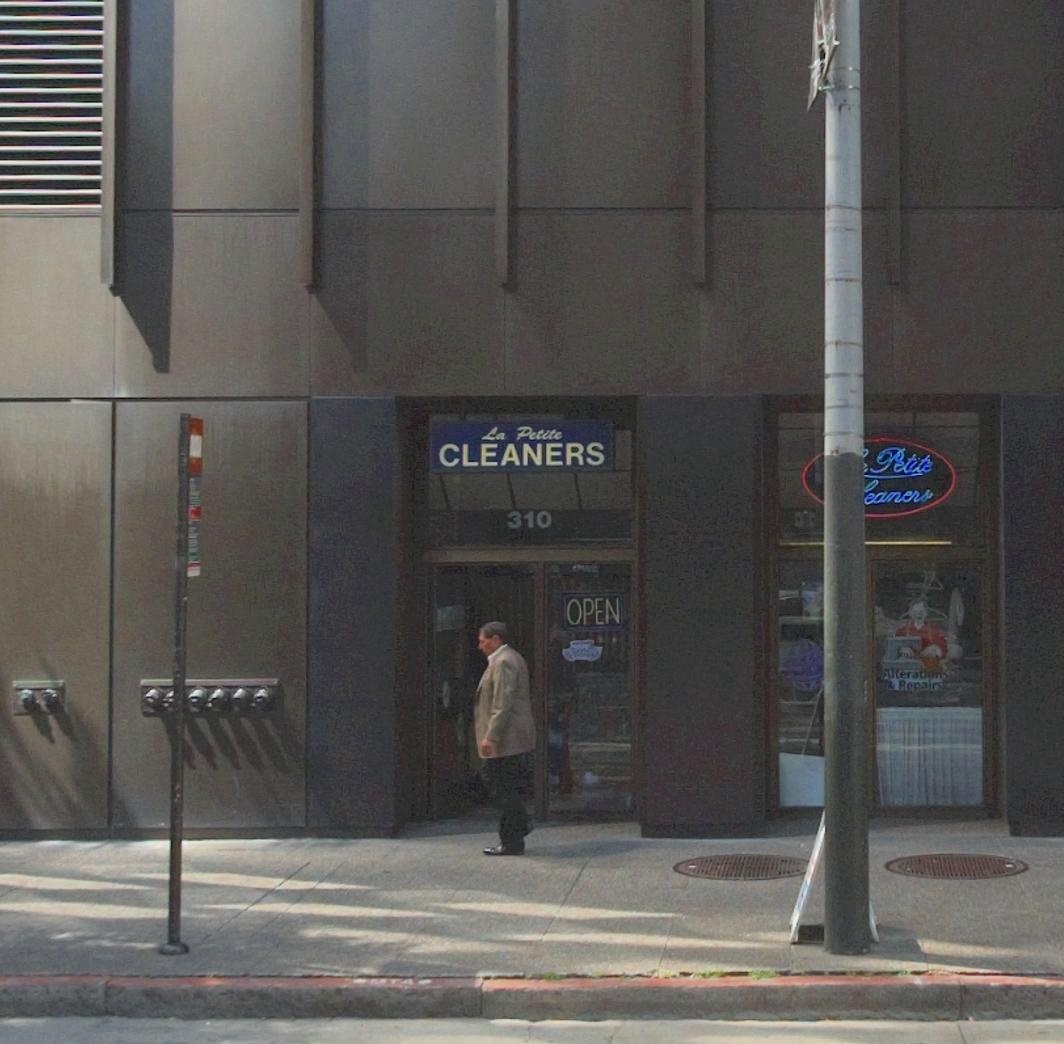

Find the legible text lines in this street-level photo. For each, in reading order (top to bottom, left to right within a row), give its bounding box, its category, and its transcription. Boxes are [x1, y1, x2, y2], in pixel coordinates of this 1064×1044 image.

[480, 423, 563, 443] BusinessName: La Petite
[437, 439, 606, 468] BusinessName: CLEANERS
[869, 445, 933, 475] BusinessName: Petite
[863, 487, 933, 505] BusinessName: eaners
[505, 506, 554, 532] StreetNumber: 310
[565, 596, 622, 627] None: OPEN
[880, 666, 918, 679] None: Altera
[885, 679, 944, 693] None: & Repairs